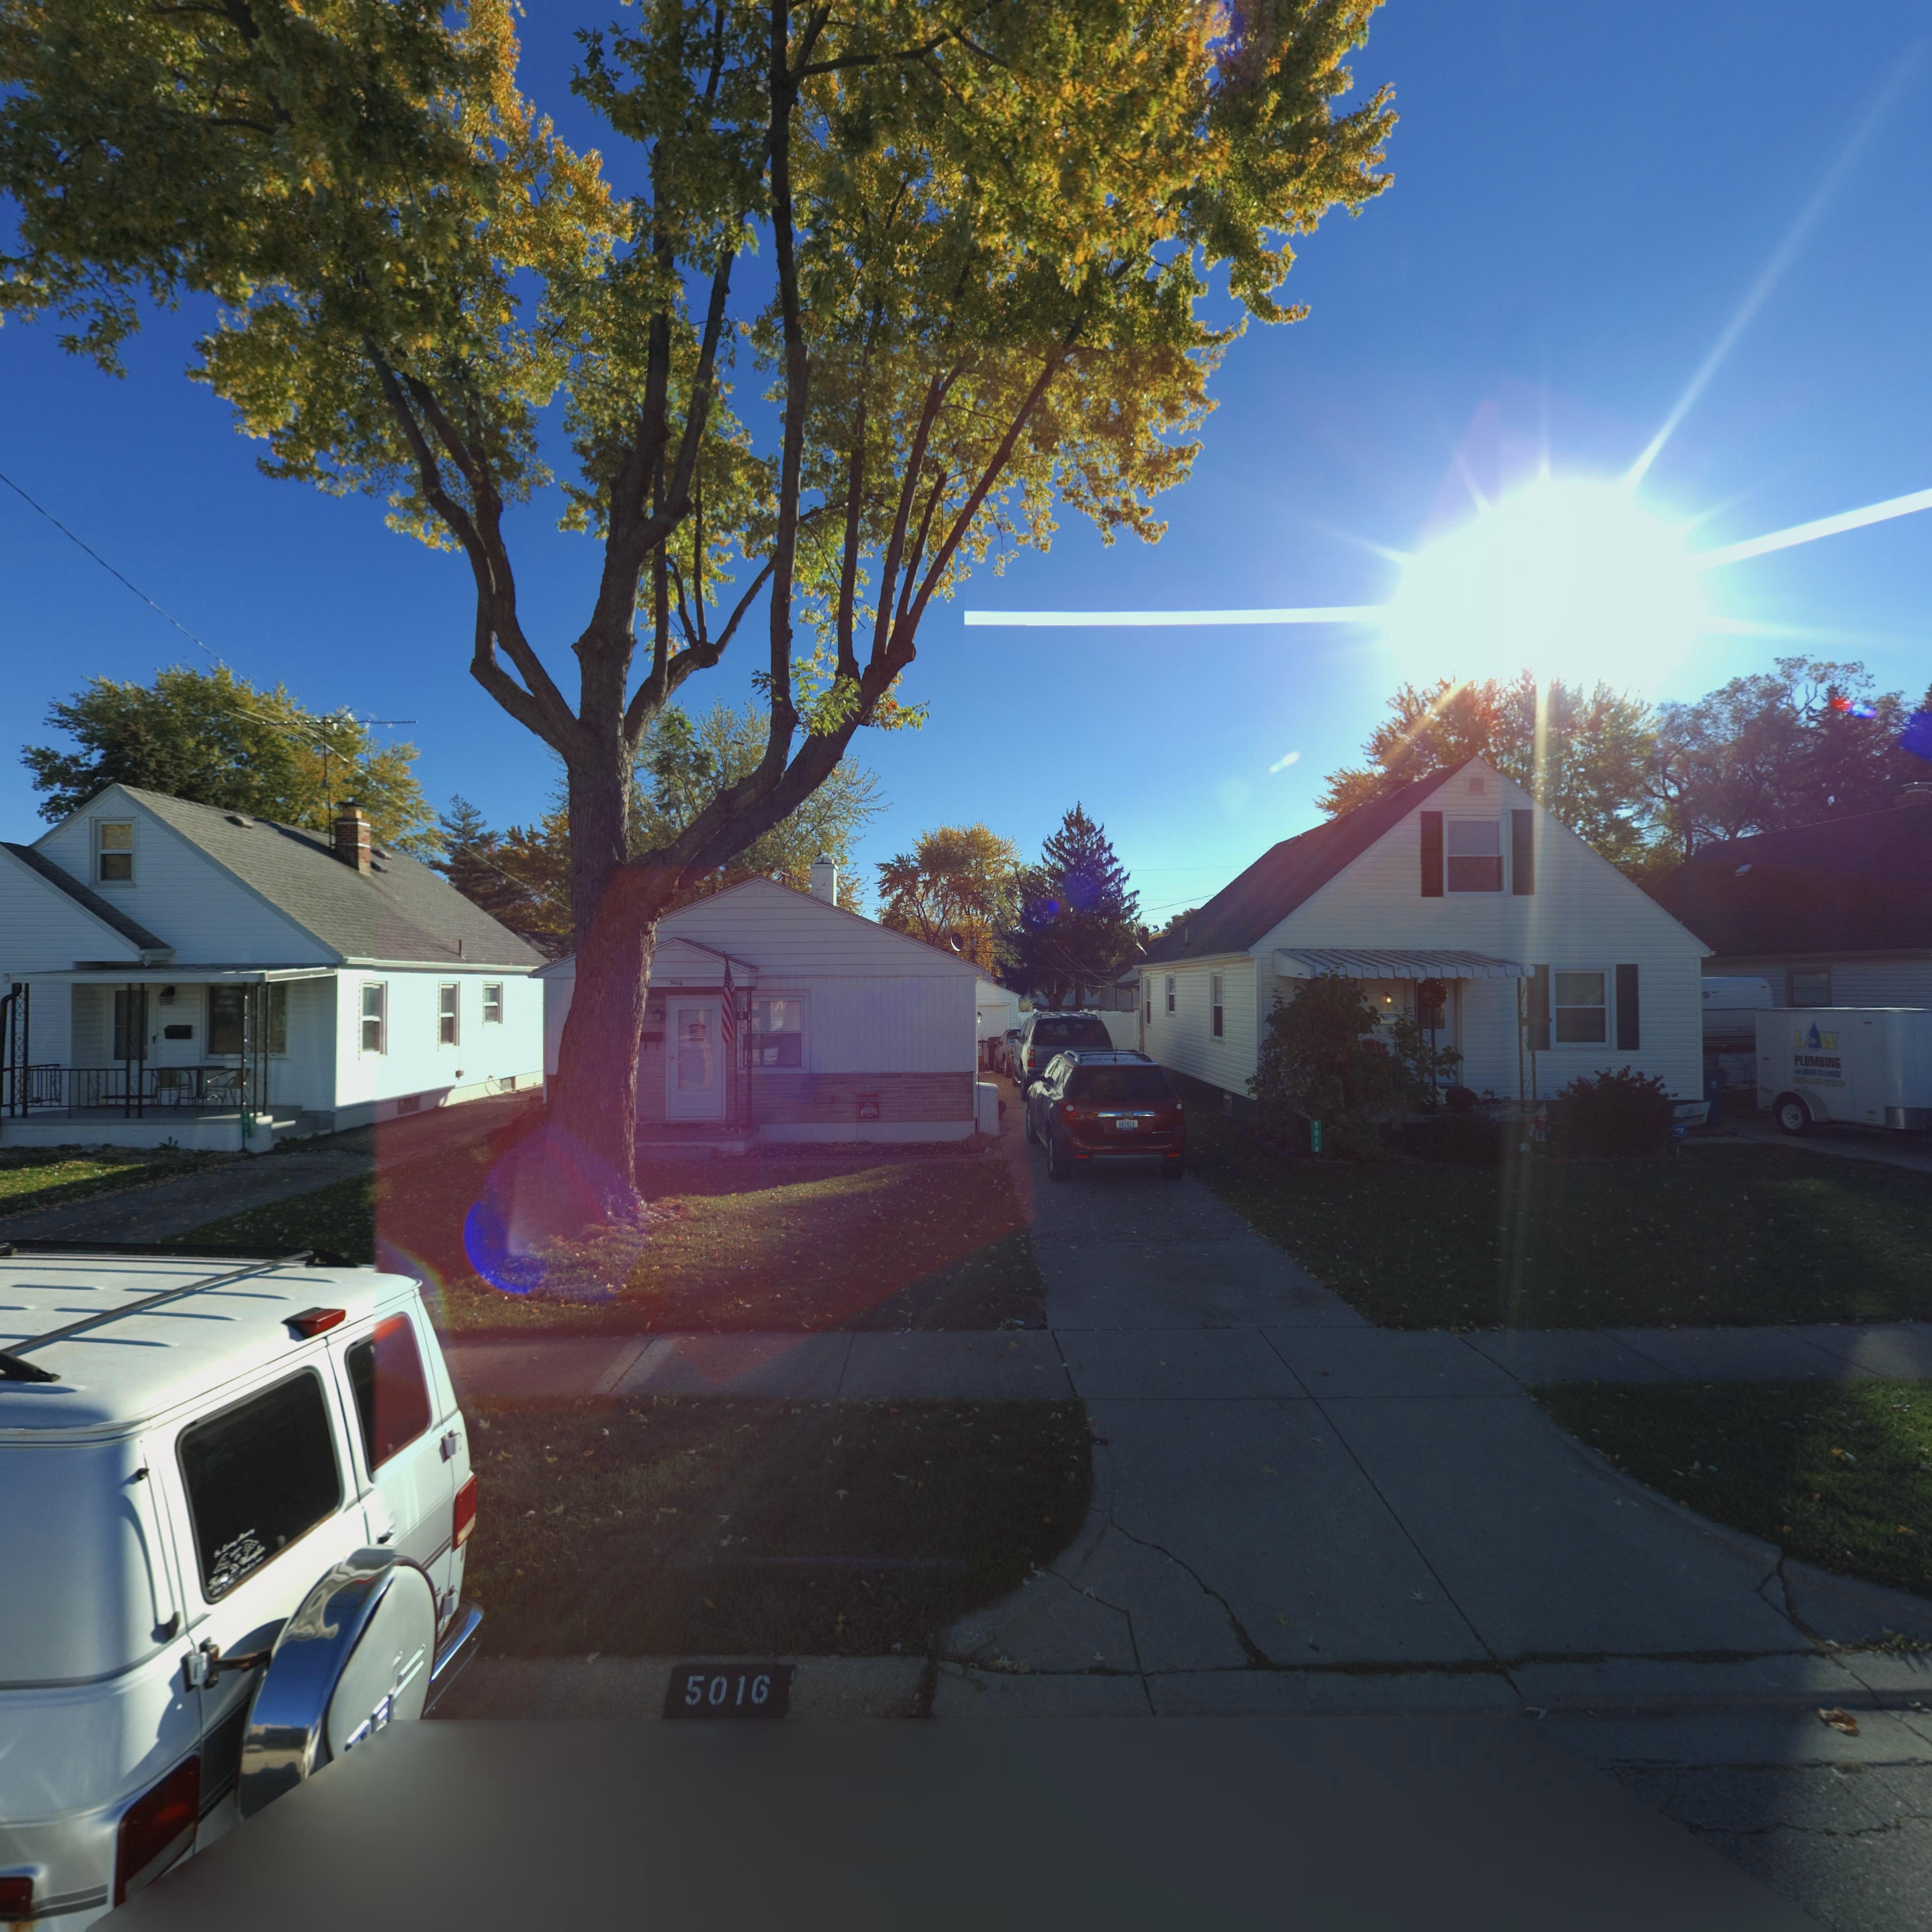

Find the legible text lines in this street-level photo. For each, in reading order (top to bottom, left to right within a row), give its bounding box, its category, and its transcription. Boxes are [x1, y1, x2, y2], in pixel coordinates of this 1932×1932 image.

[669, 979, 683, 986] StreetNumber: 5016
[1377, 1004, 1399, 1013] StreetNumber: 018
[243, 1111, 249, 1139] StreetNumber: 5012
[1314, 1121, 1319, 1153] StreetNumber: 5018
[683, 1674, 772, 1706] StreetNumber: 5016